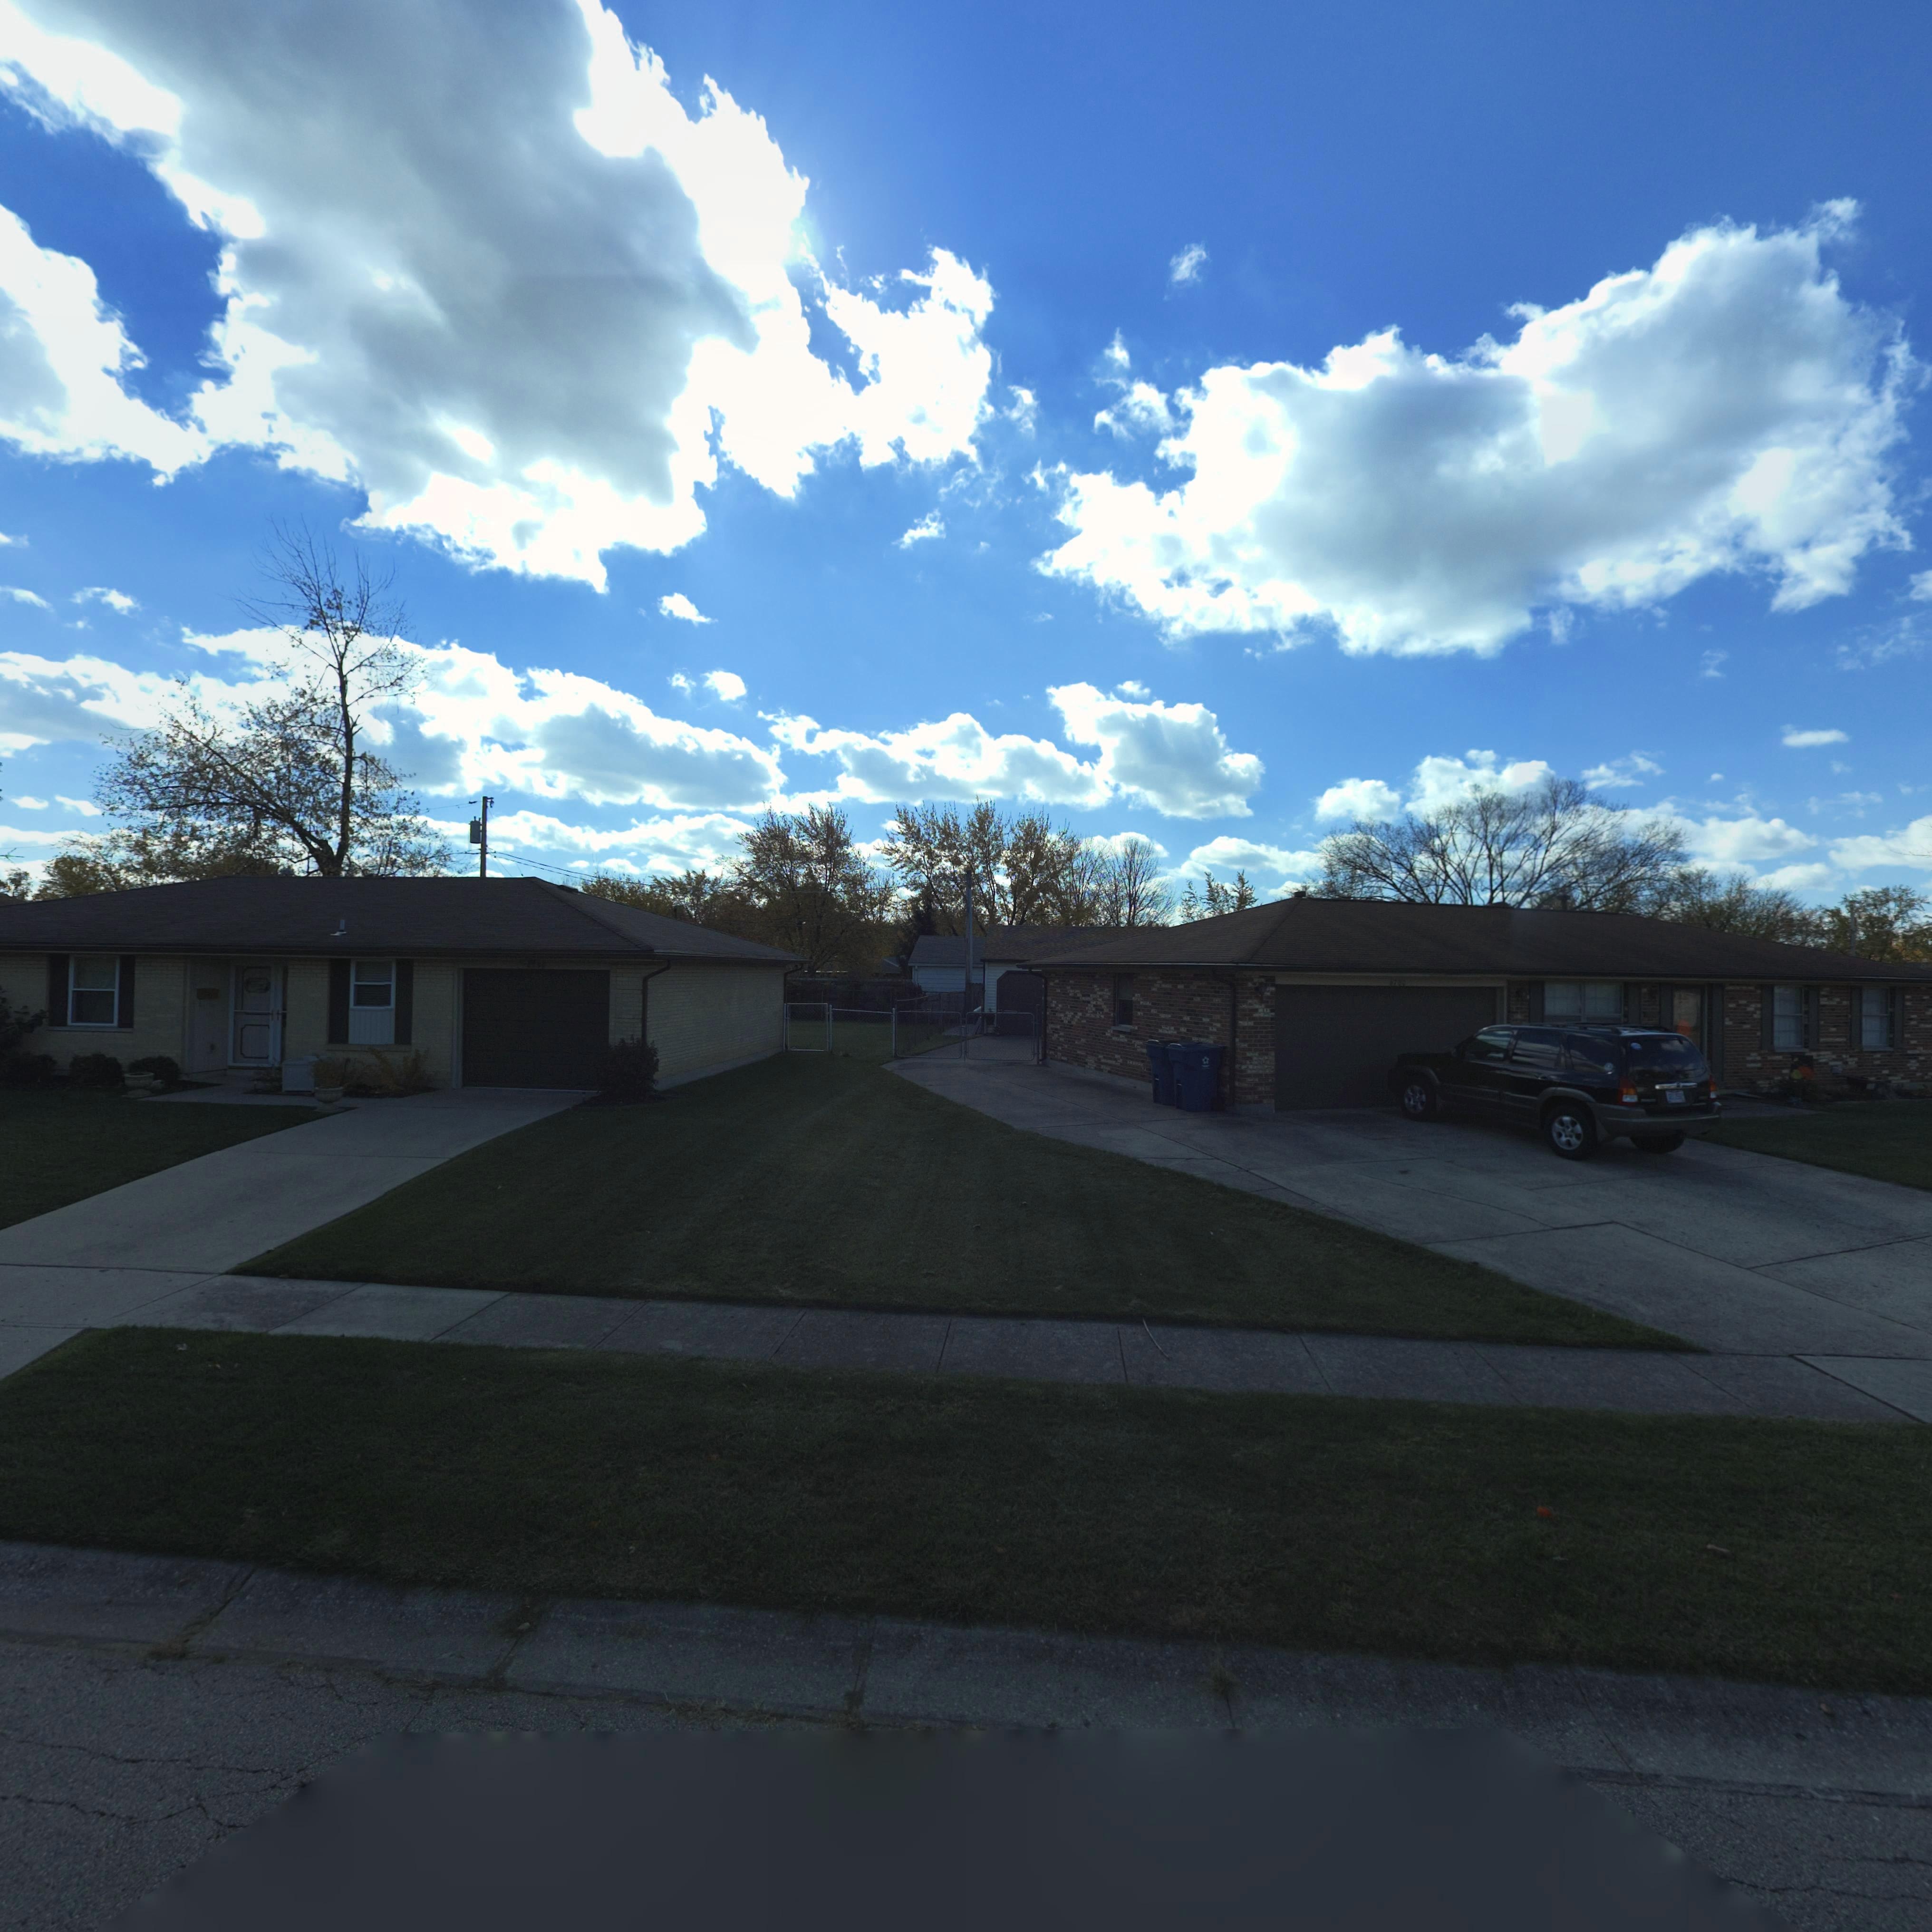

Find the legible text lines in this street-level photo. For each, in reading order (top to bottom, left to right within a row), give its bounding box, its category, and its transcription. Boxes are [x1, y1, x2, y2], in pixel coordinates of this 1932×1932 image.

[534, 961, 547, 970] StreetNumber: 5*
[1389, 979, 1407, 986] StreetNumber: 6700